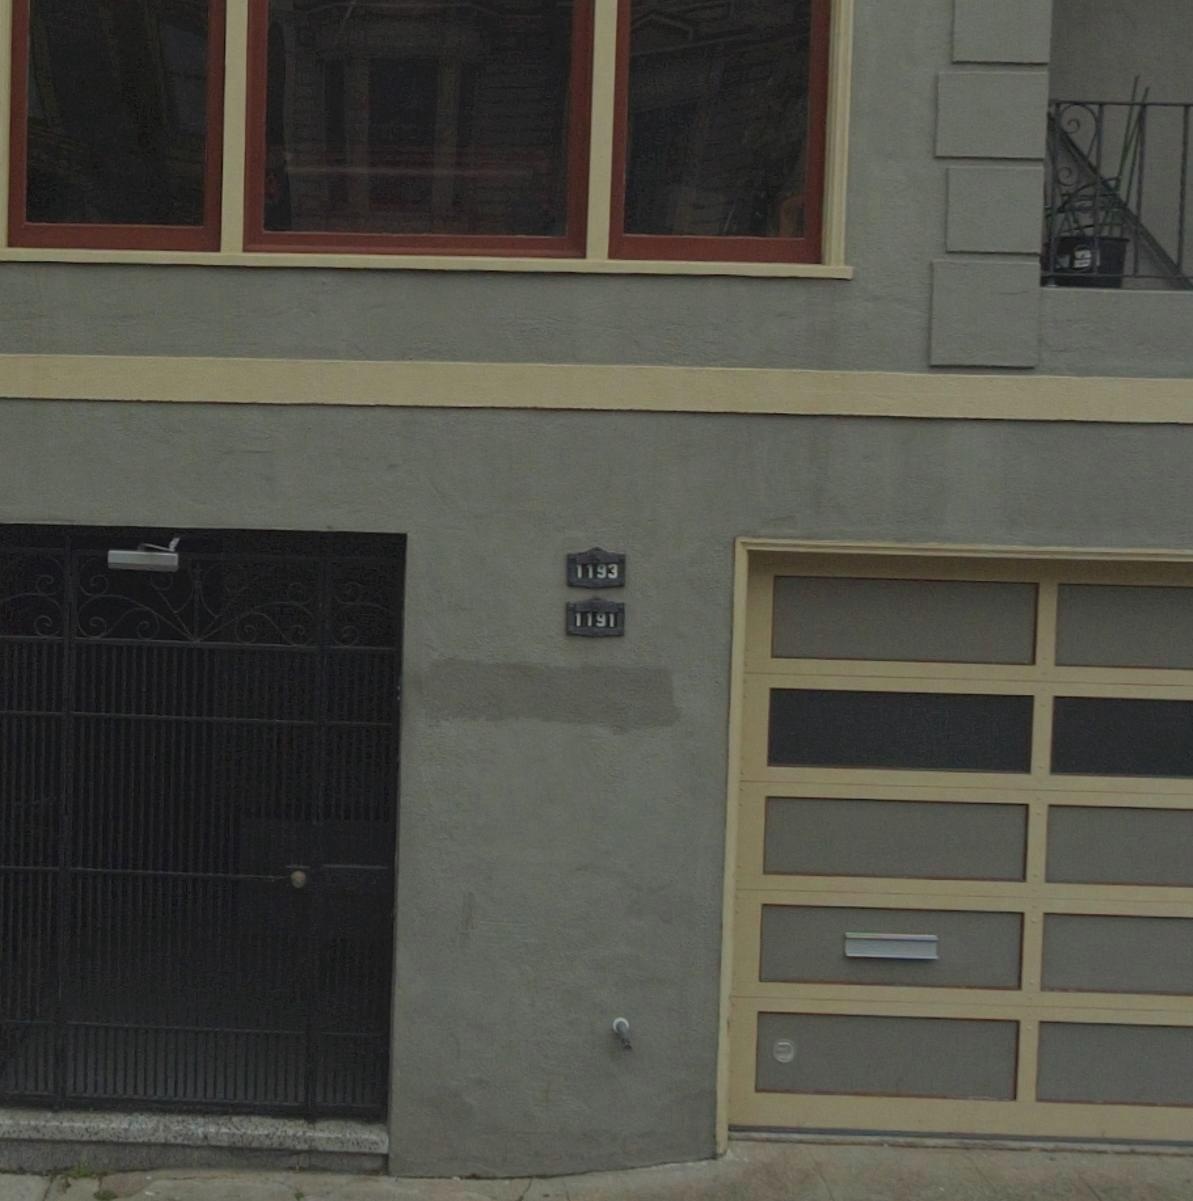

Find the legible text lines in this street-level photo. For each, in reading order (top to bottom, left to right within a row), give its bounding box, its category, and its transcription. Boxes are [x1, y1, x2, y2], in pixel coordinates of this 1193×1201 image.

[575, 562, 620, 580] StreetNumber: 1193
[574, 611, 616, 629] StreetNumber: 1191